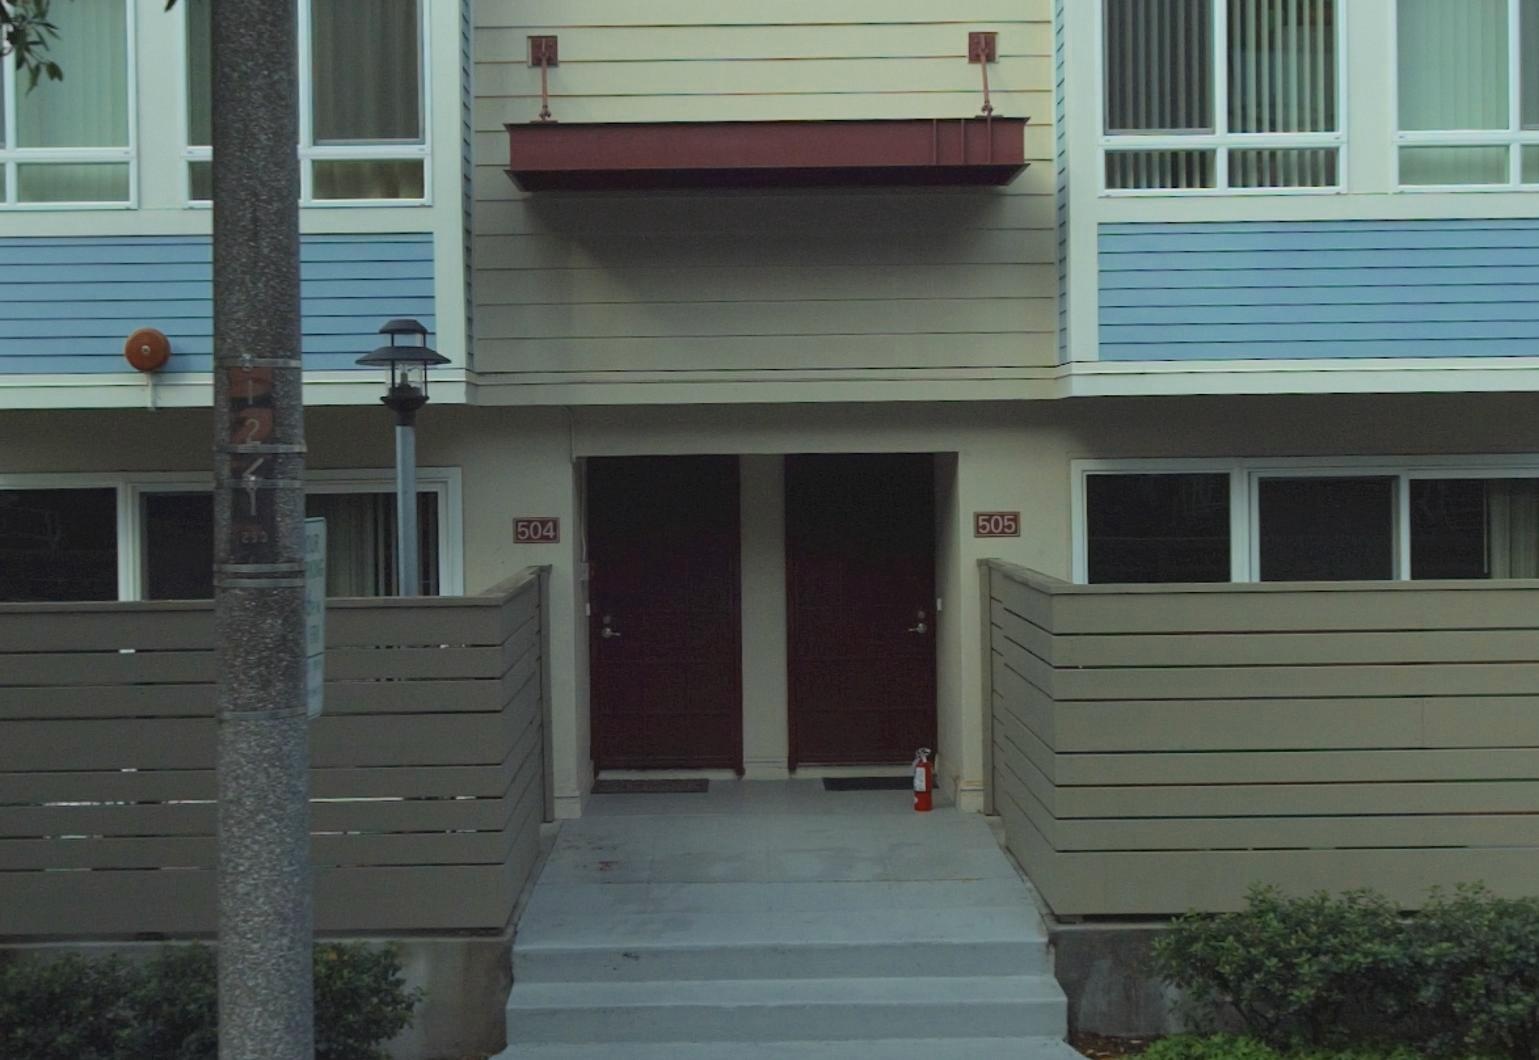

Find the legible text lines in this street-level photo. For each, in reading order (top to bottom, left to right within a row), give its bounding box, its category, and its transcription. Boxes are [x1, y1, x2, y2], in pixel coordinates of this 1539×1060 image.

[241, 375, 267, 520] None: 12**
[238, 528, 271, 546] None: 2*0
[515, 519, 557, 542] StreetNumber: 504
[975, 513, 1018, 536] StreetNumber: 505